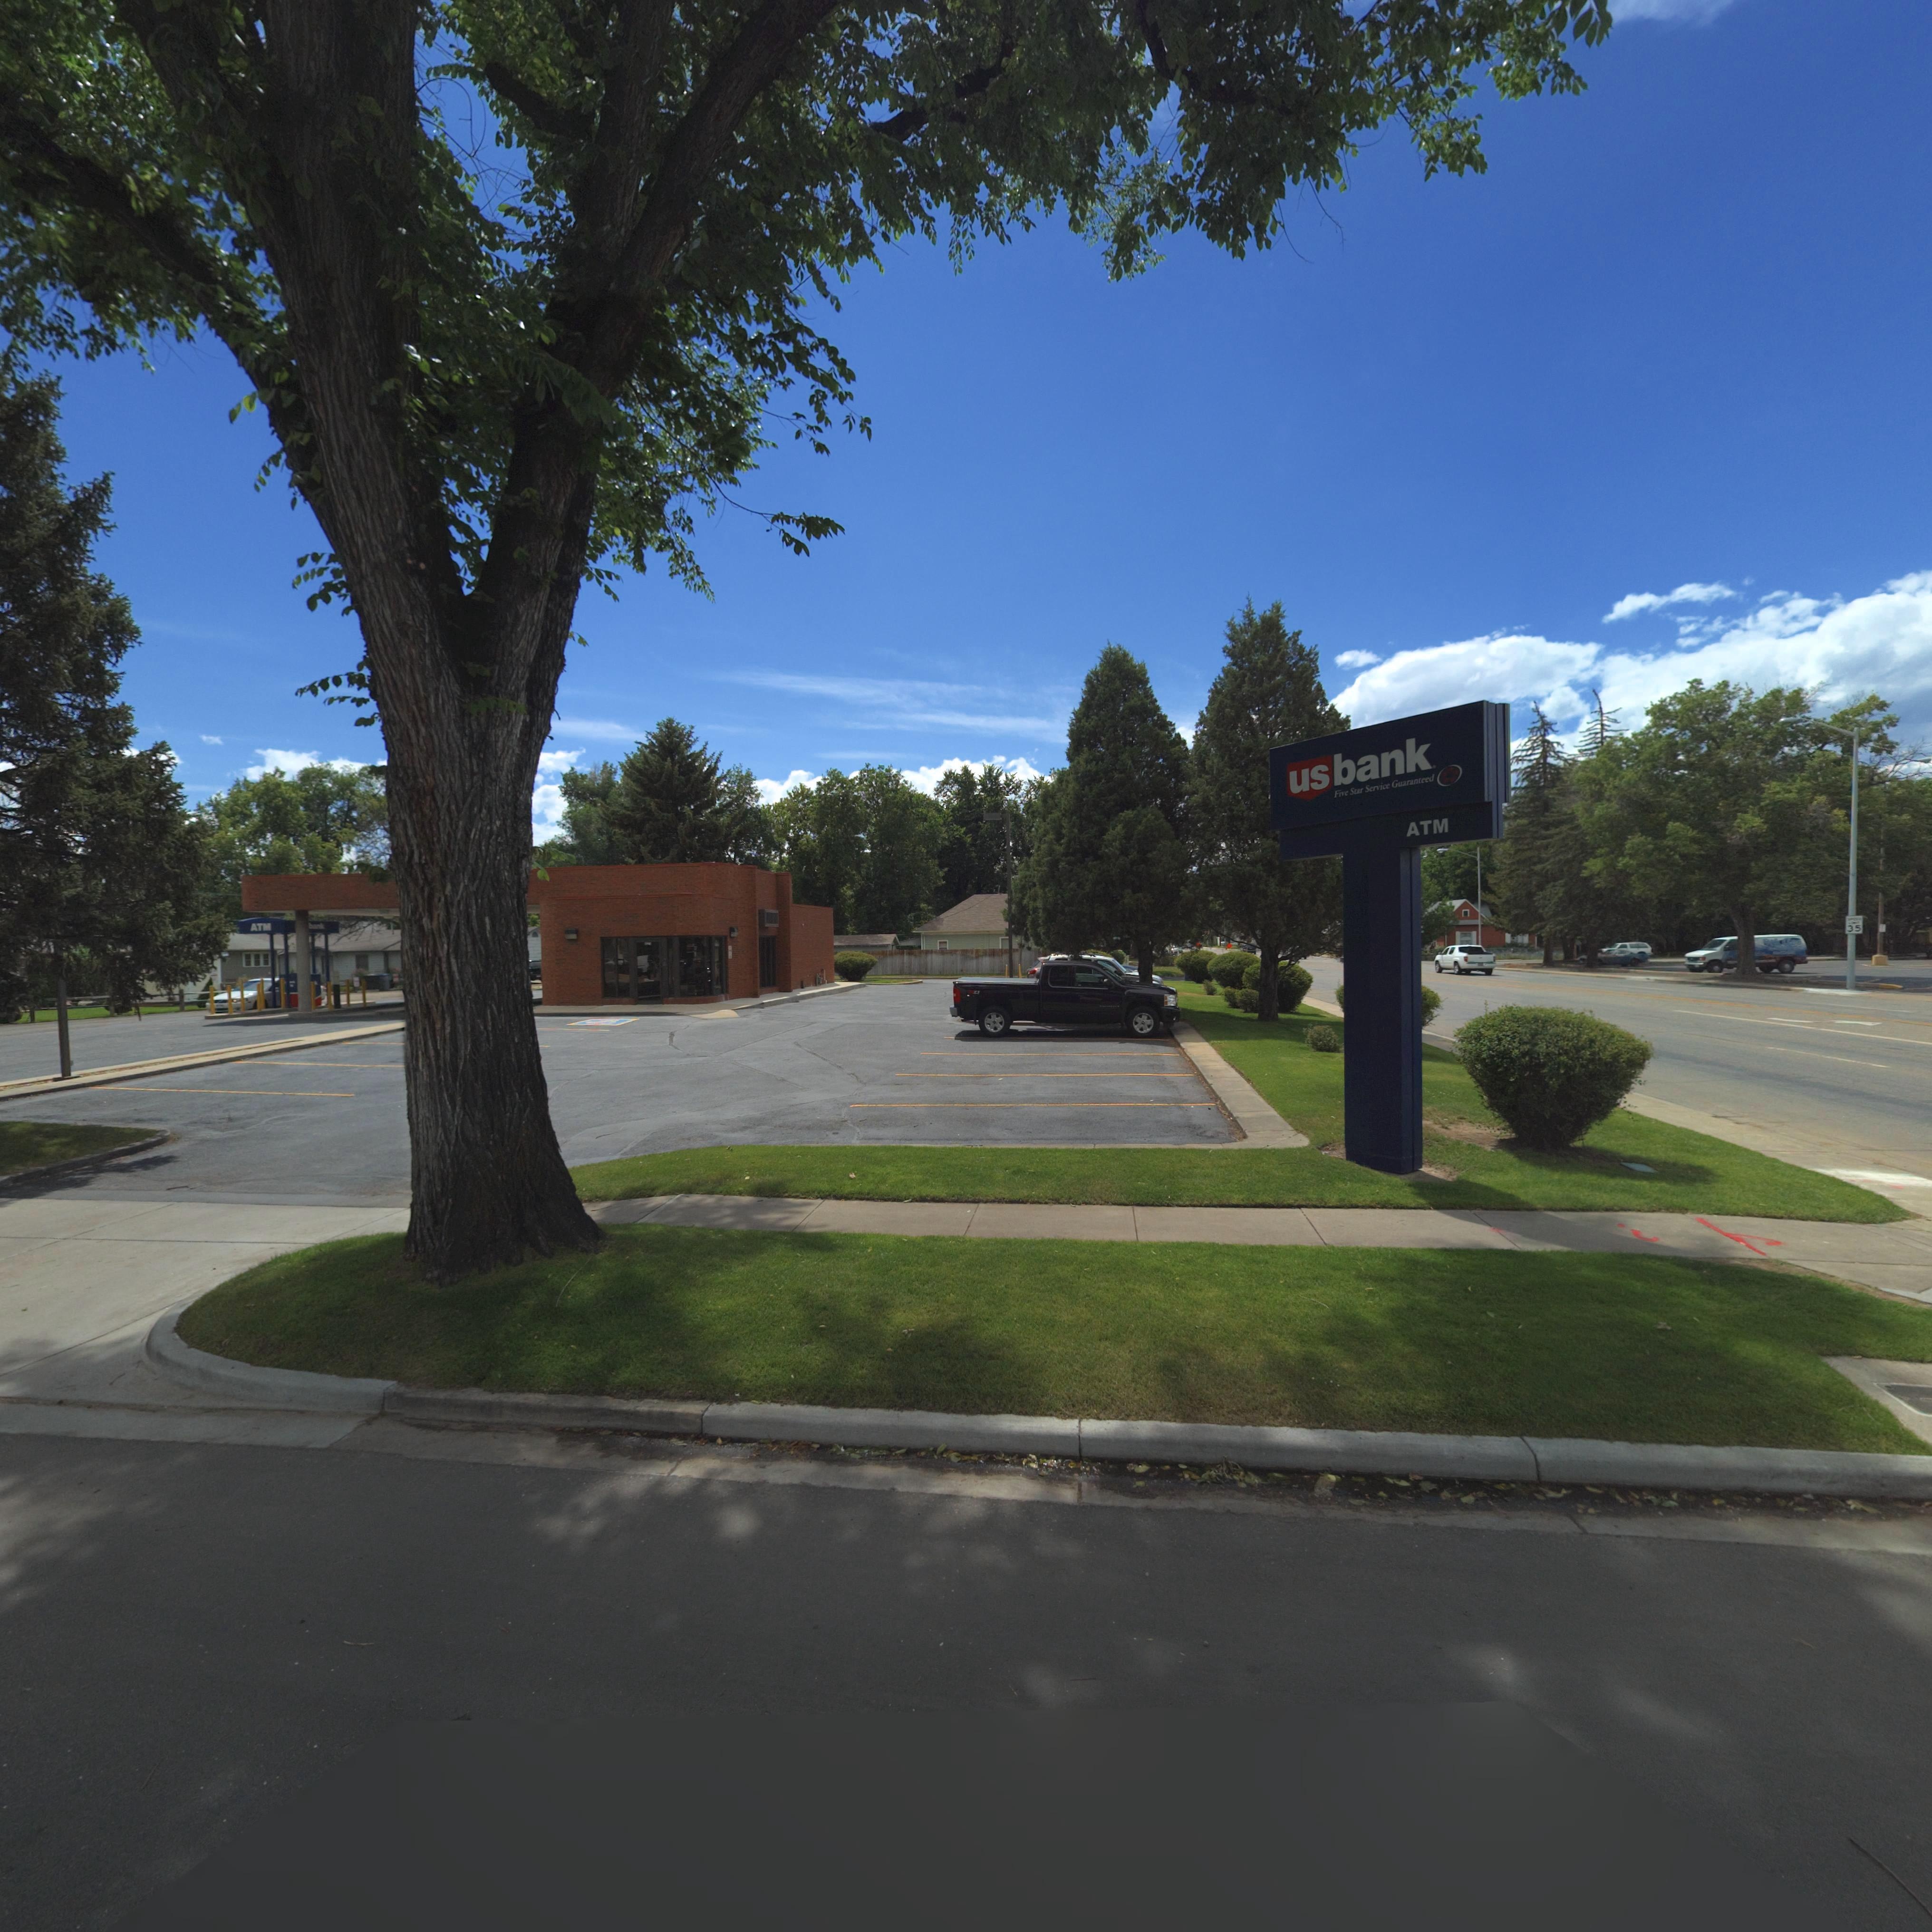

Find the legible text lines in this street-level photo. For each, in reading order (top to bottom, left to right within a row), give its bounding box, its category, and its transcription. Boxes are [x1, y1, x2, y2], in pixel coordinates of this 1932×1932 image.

[1289, 738, 1433, 795] BusinessName: usbank
[306, 923, 324, 929] BusinessName: **bank